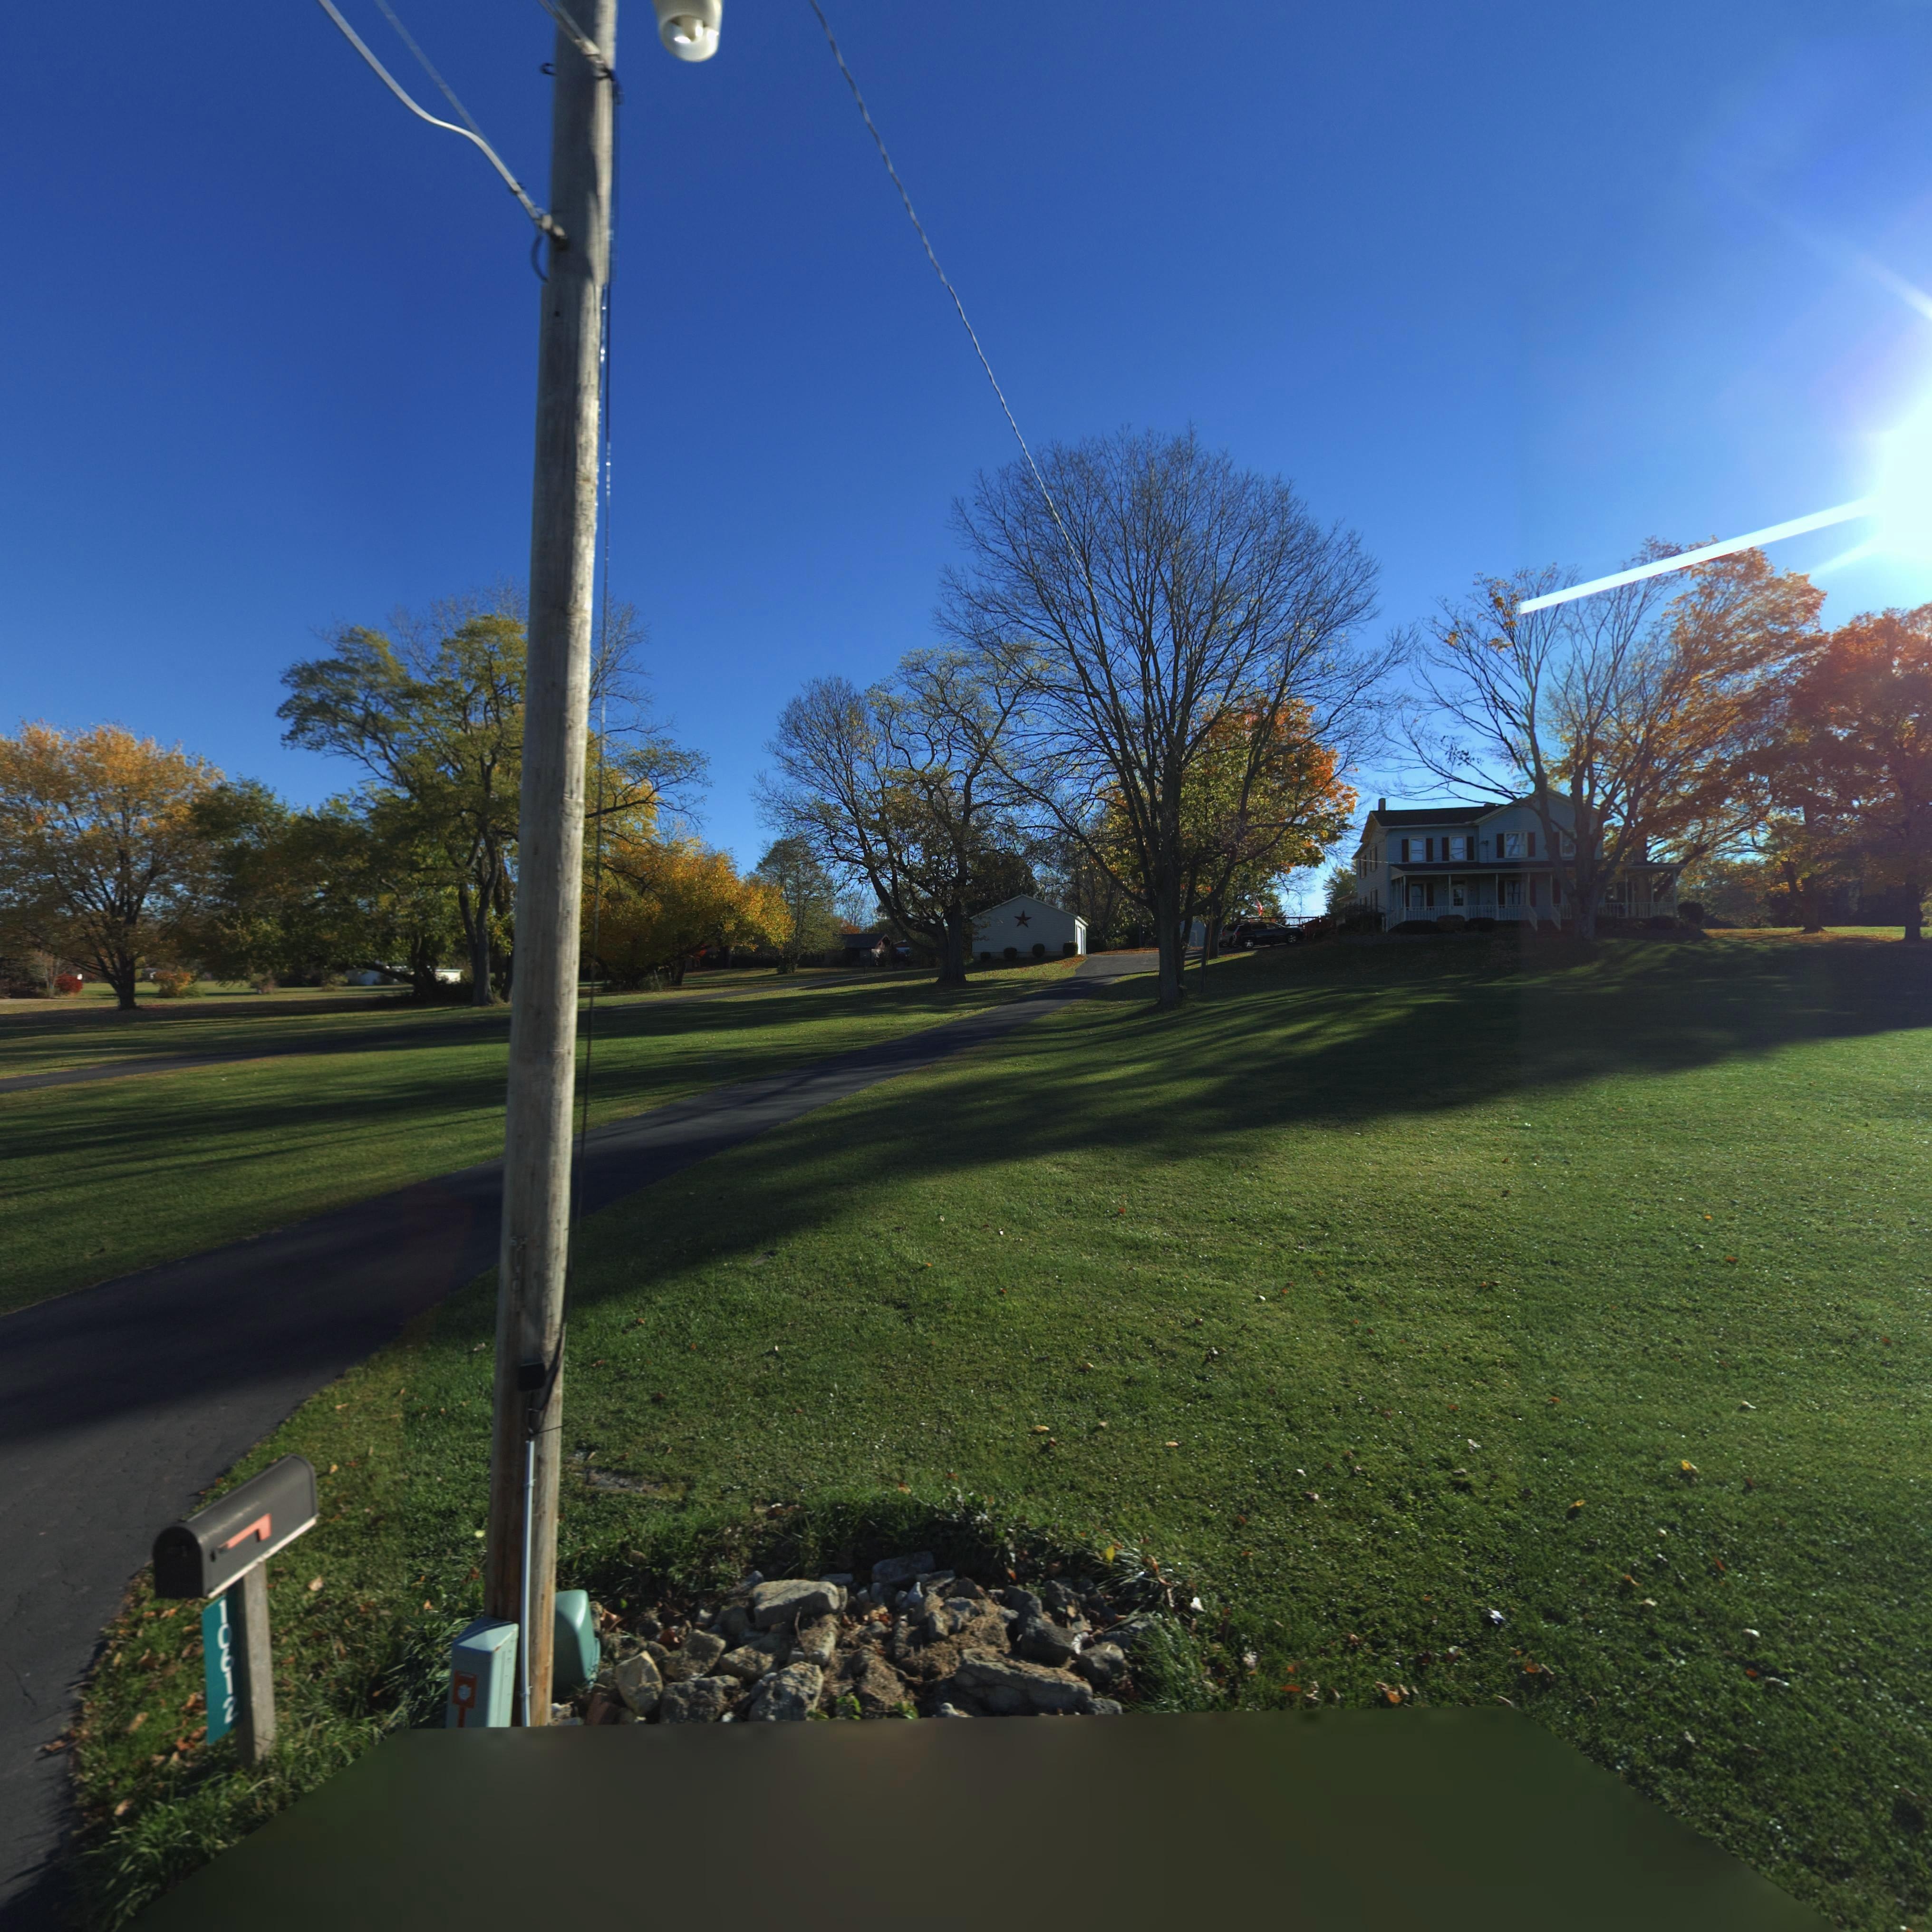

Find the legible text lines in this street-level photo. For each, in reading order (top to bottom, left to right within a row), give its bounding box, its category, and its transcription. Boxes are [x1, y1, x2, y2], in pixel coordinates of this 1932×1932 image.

[215, 1595, 243, 1727] StreetNumber: 10612